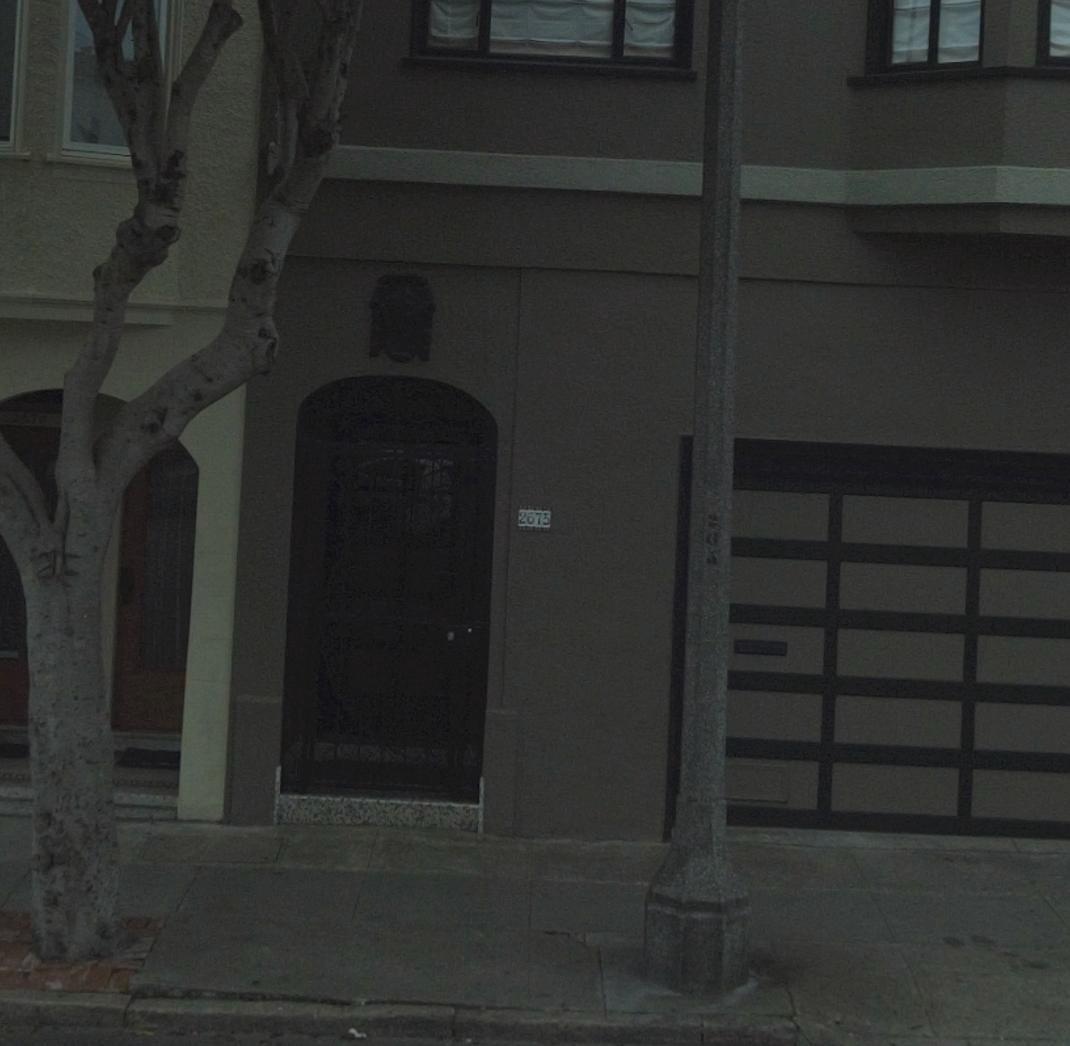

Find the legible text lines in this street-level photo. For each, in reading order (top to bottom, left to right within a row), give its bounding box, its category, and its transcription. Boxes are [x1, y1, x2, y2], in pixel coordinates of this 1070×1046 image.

[519, 511, 550, 526] StreetNumber: 2675
[704, 508, 720, 566] None: 26*